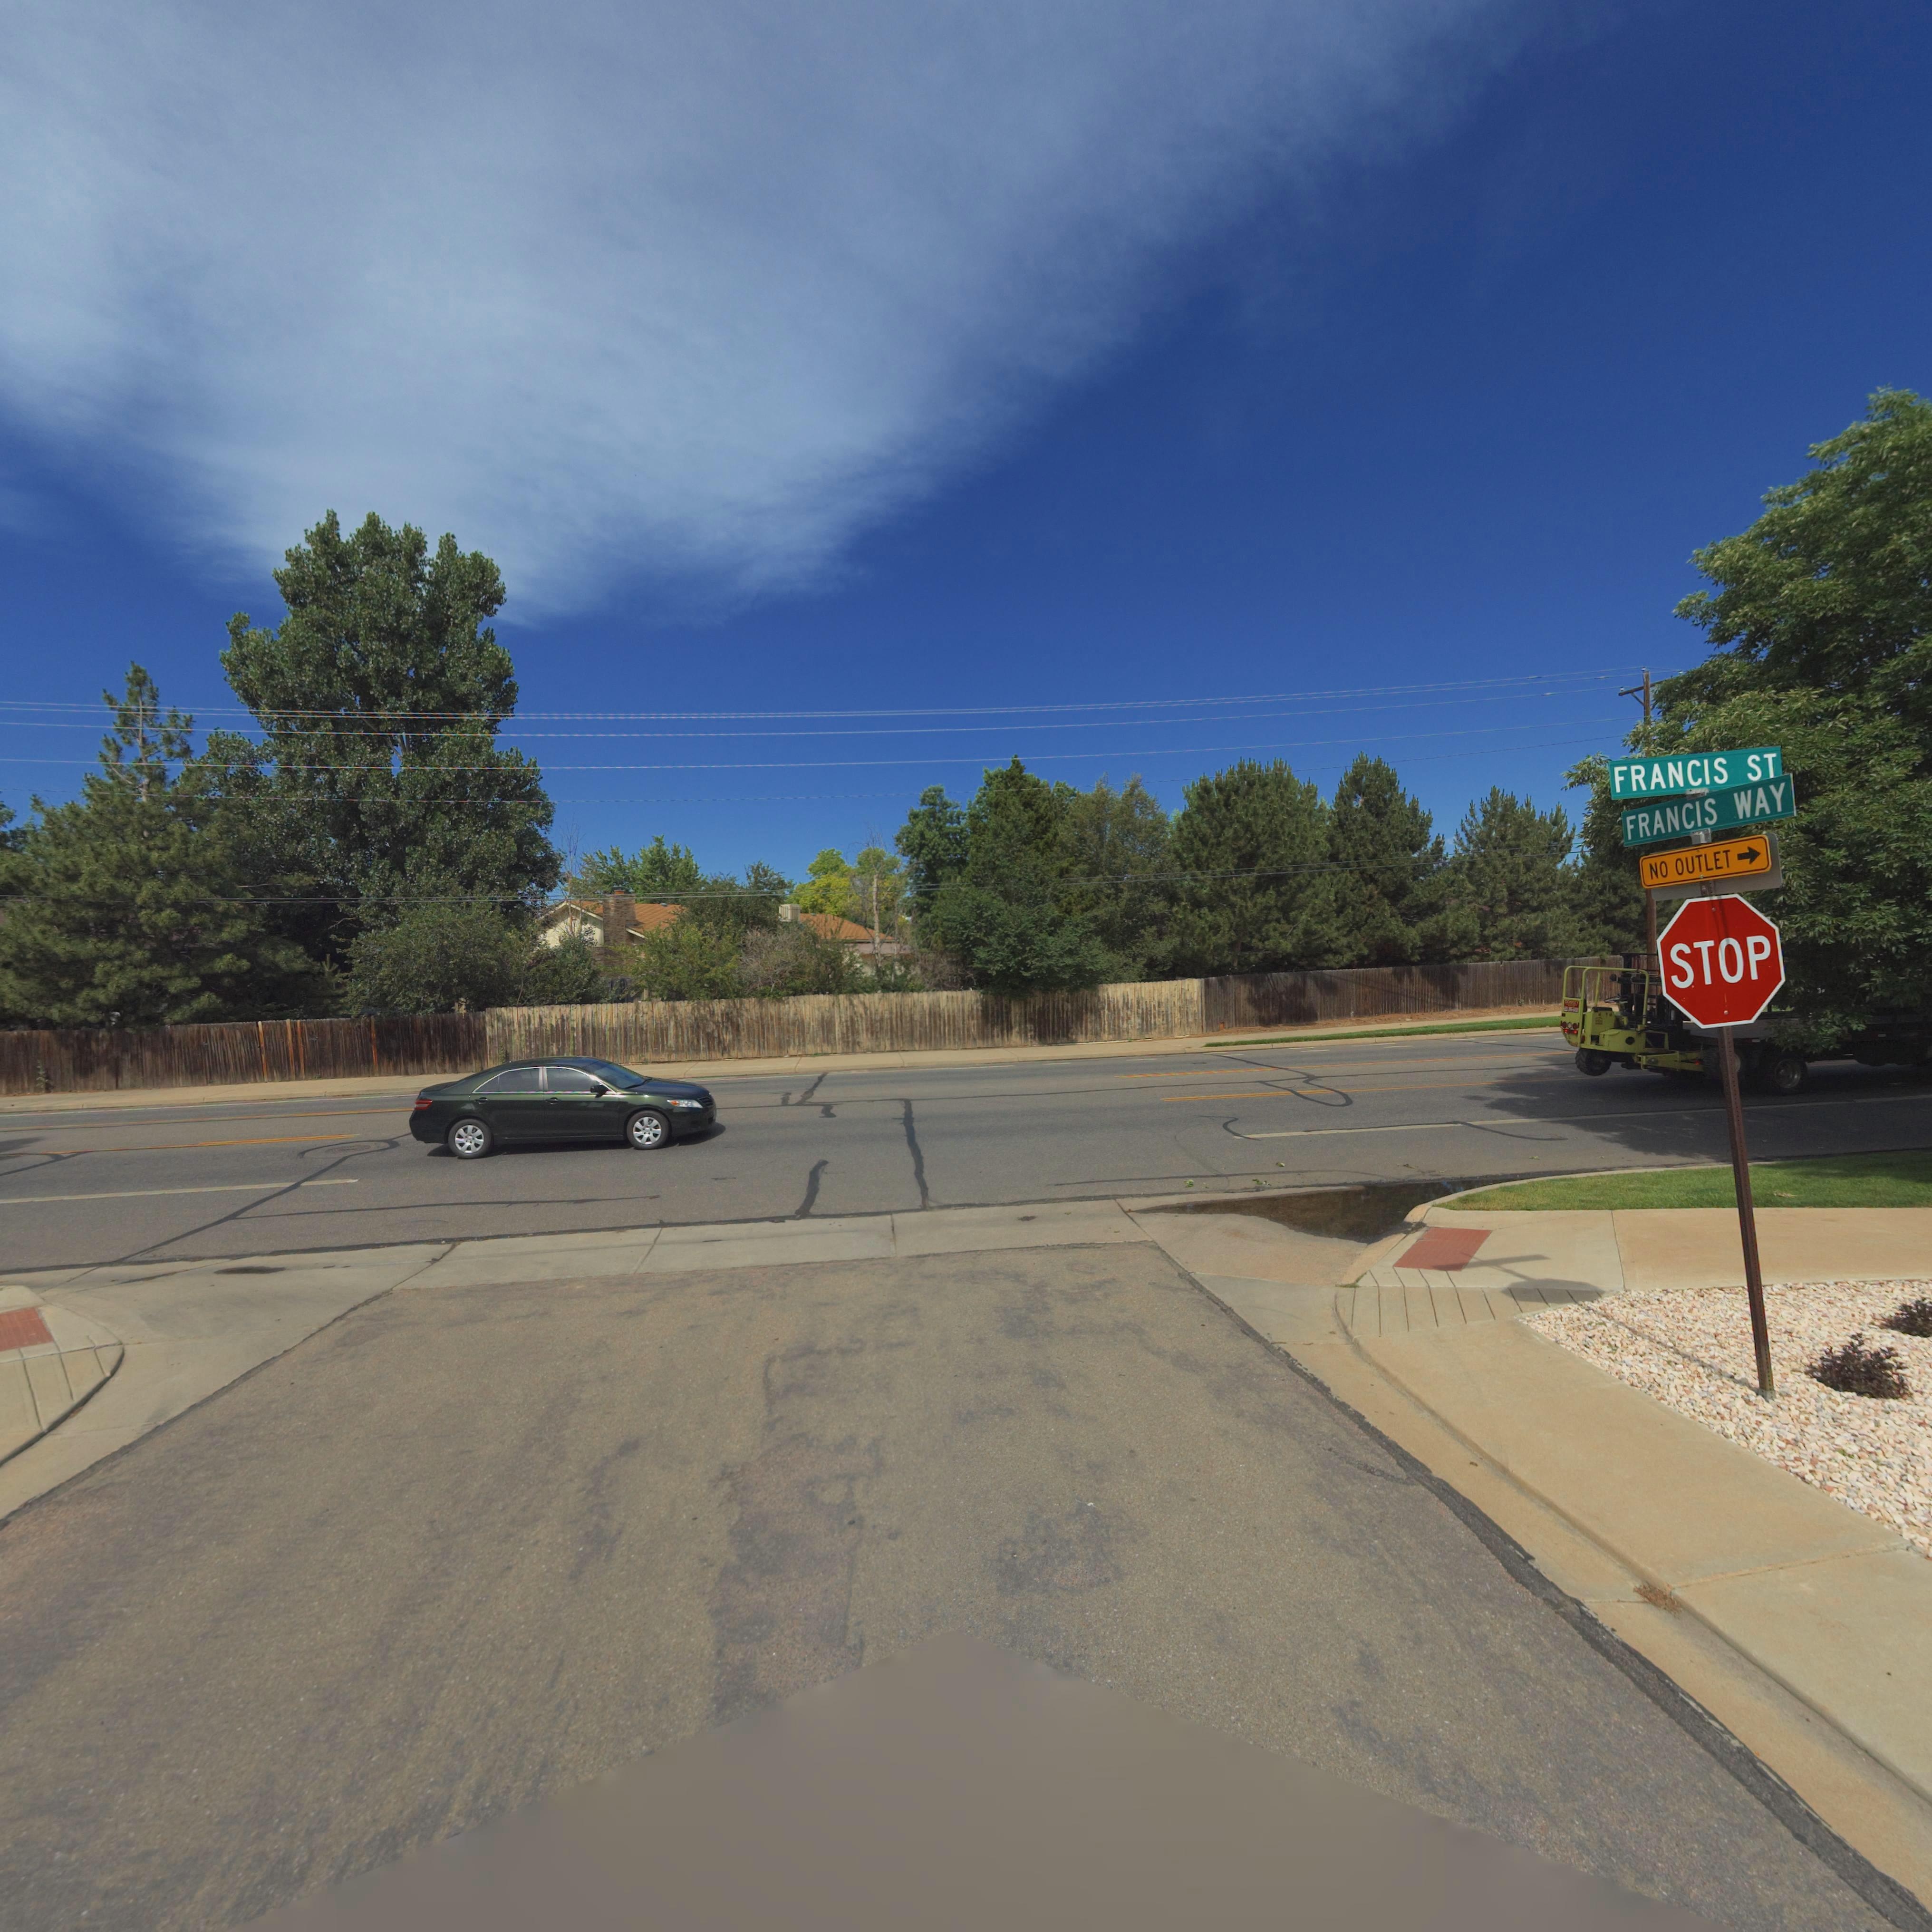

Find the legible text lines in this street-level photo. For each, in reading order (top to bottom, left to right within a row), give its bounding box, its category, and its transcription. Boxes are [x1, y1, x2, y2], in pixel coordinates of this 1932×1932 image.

[1613, 752, 1777, 793] StreetName: FRANCIS ST
[1626, 781, 1785, 840] StreetName: FRANCIS WAY